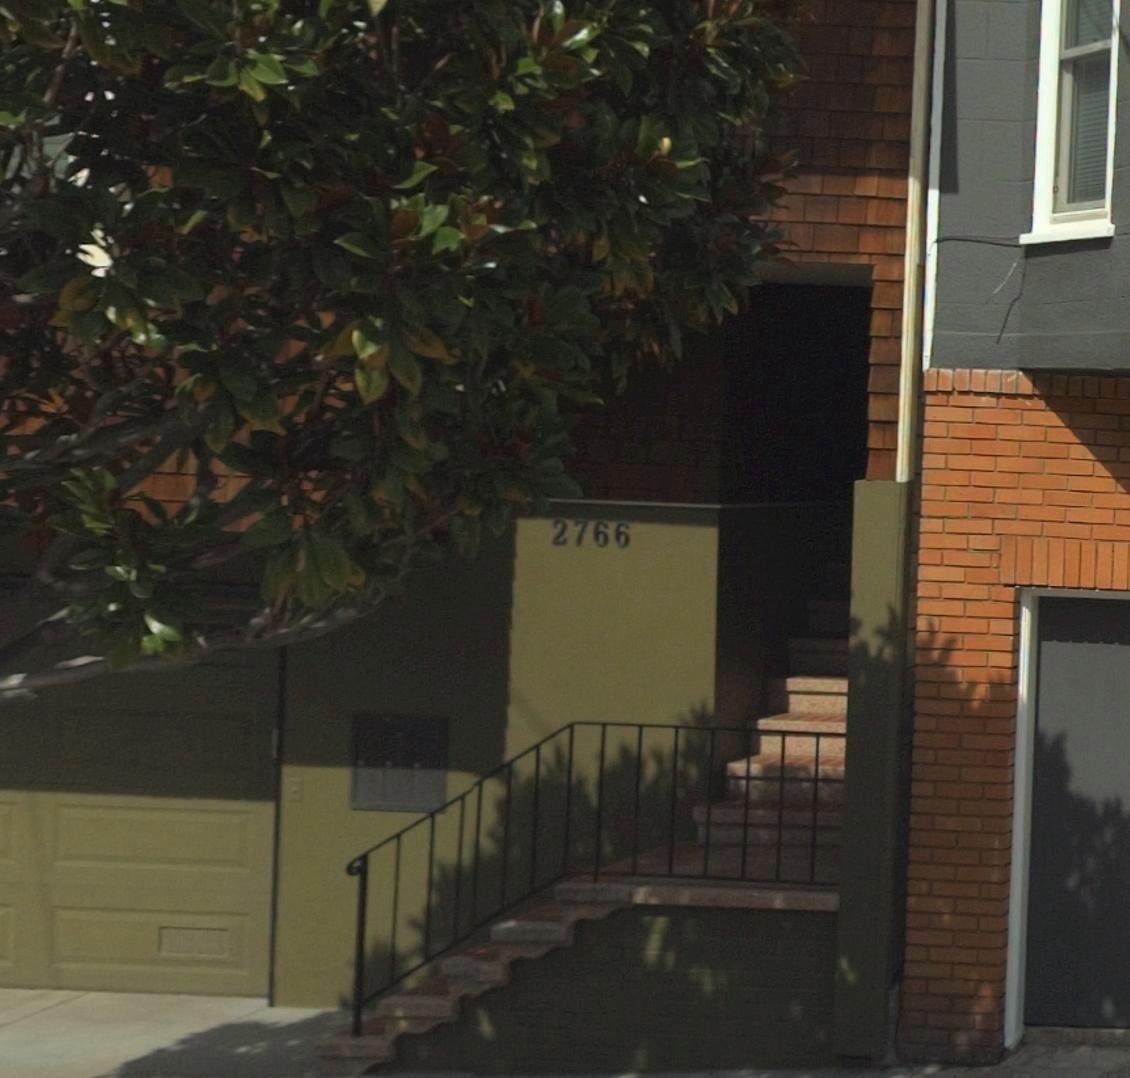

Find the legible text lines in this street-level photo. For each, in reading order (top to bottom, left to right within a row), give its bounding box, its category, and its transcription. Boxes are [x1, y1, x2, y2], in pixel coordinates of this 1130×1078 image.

[549, 514, 634, 552] StreetNumber: 2766